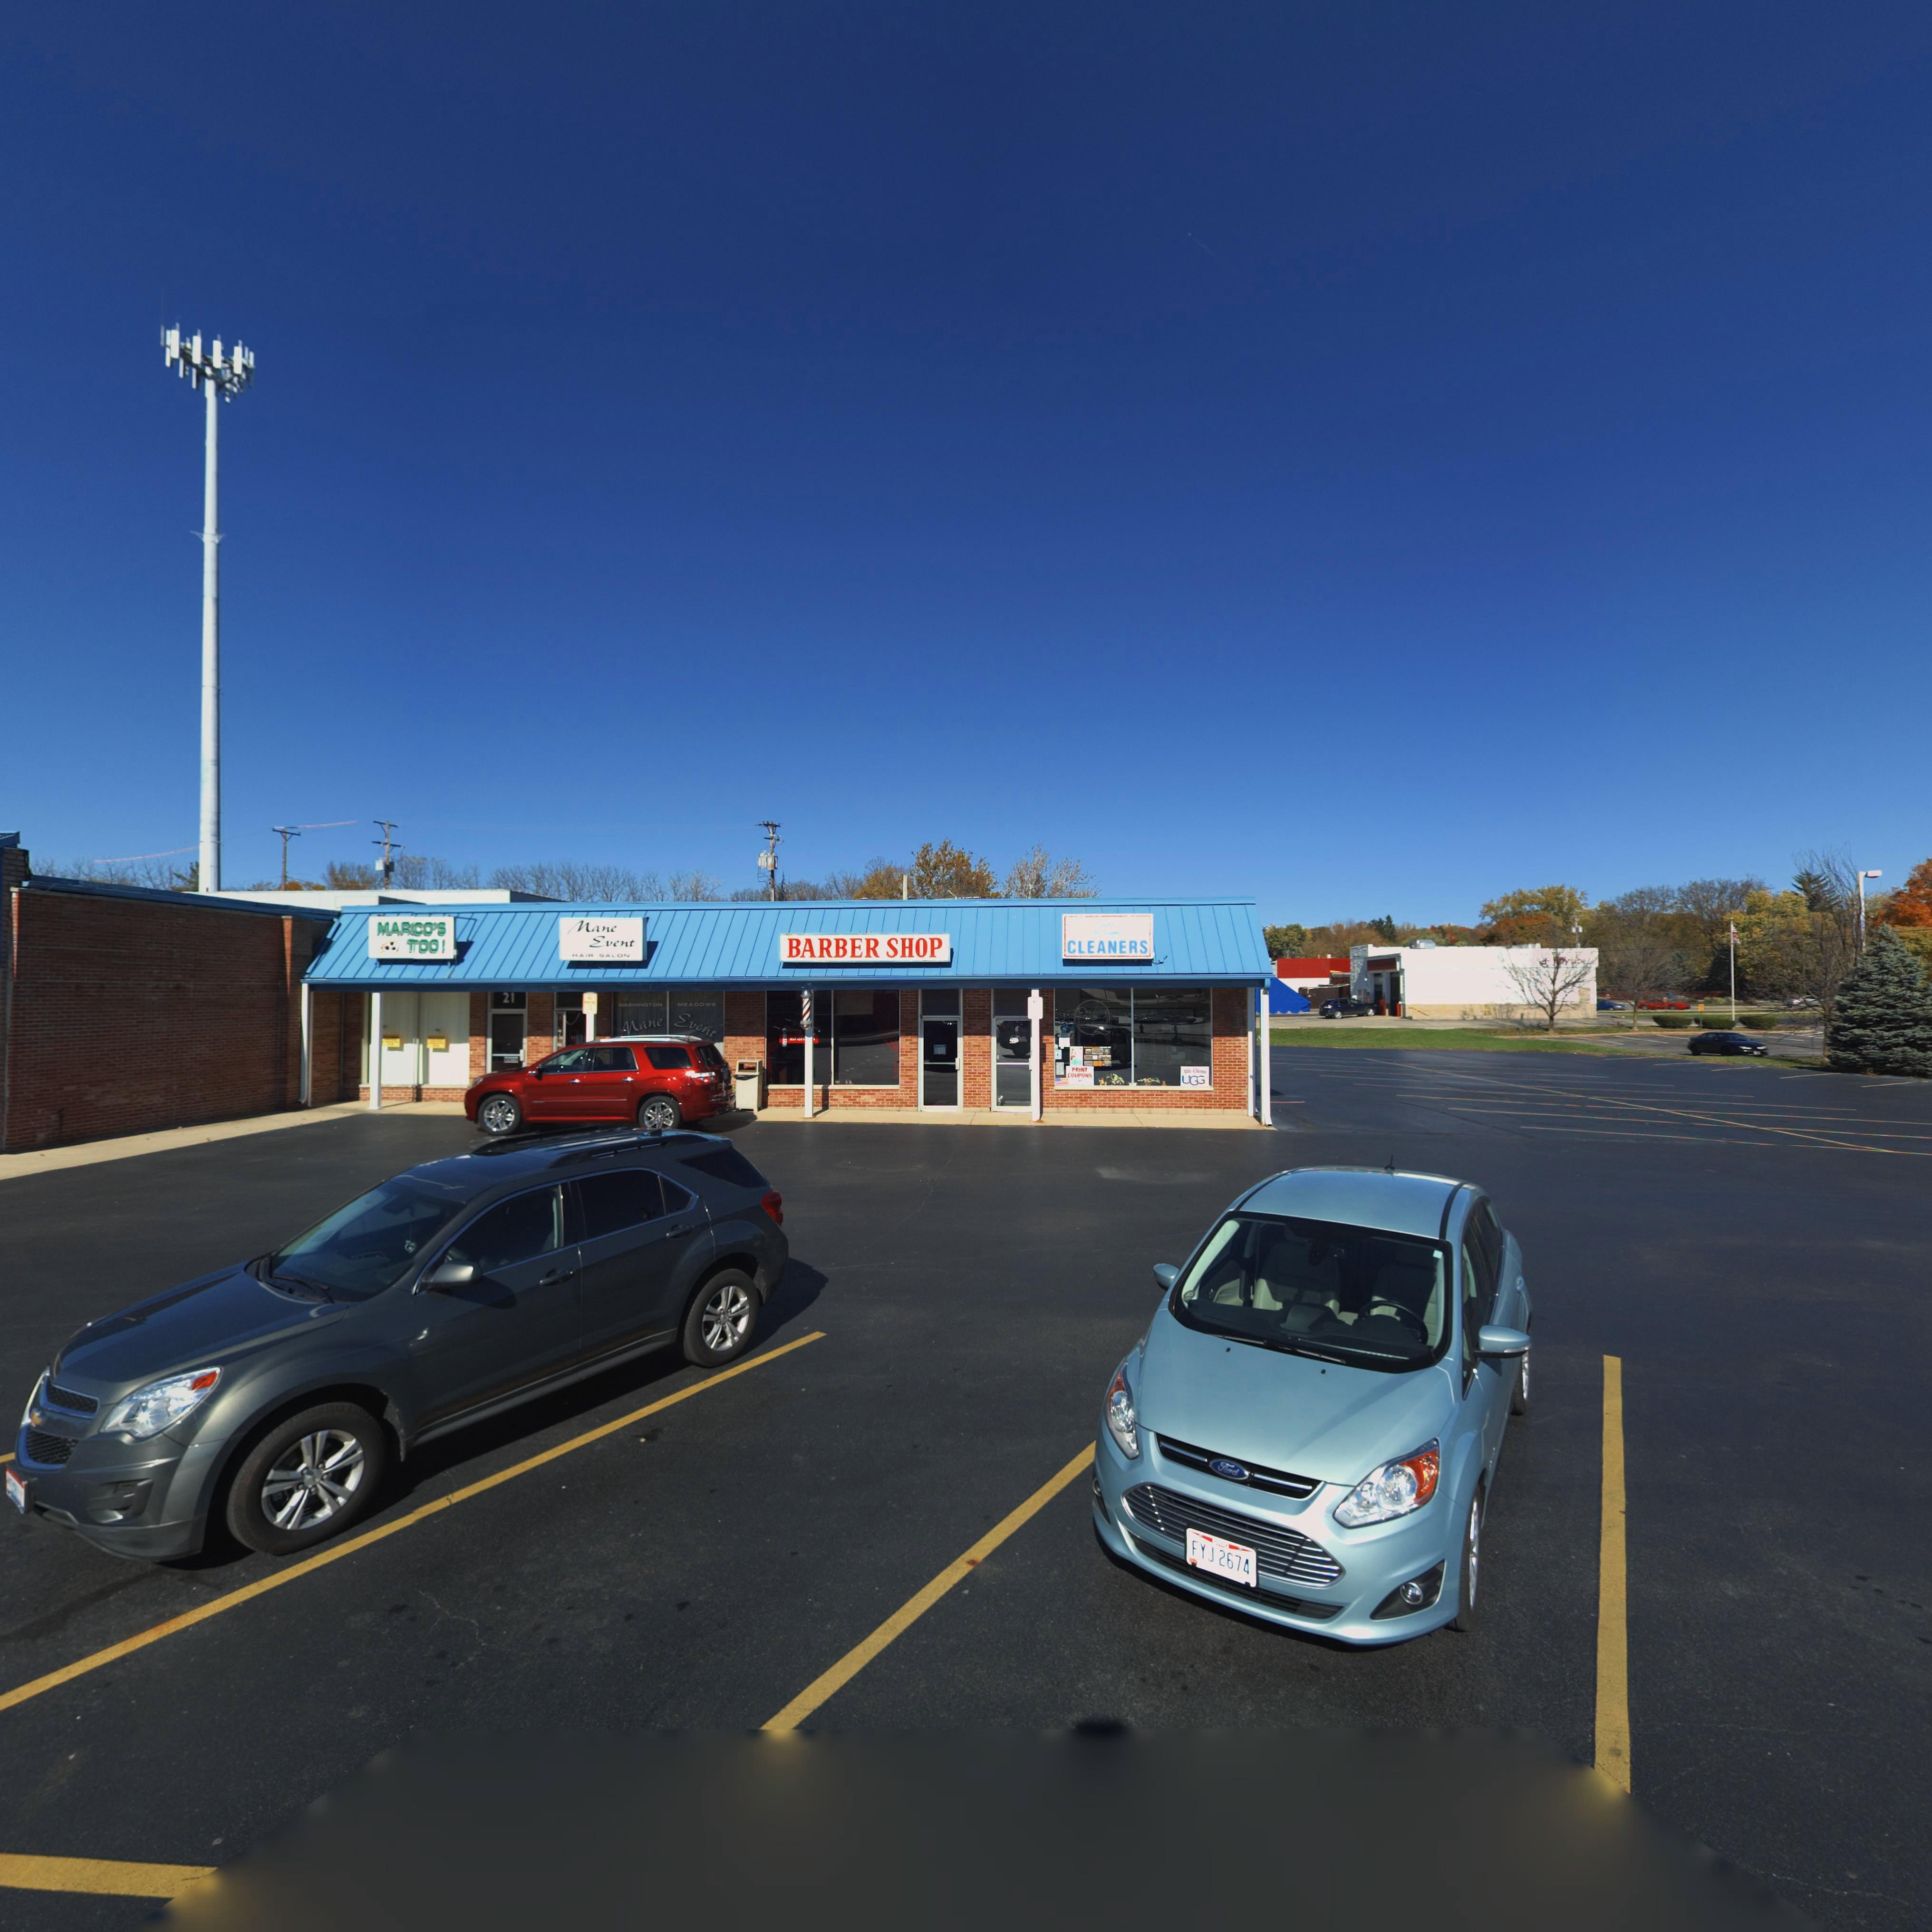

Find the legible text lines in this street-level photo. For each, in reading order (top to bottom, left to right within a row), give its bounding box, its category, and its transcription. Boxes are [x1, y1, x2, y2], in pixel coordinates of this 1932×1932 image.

[377, 921, 447, 937] BusinessName: MAR*CO'S
[565, 919, 618, 935] BusinessName: Mane
[406, 938, 447, 954] BusinessName: TOO!
[571, 953, 630, 958] None: HAIR SALON
[588, 935, 636, 948] BusinessName: Event
[786, 937, 944, 959] BusinessName: BARBER SHOP
[1066, 939, 1149, 955] BusinessName: CLEANERS
[502, 992, 515, 1004] StreetNumber: 21
[617, 1002, 716, 1007] None: WASHINGTON MEADOWS
[1078, 1005, 1107, 1020] None: Quality
[619, 1013, 717, 1039] BusinessName: Mane Event
[1072, 1067, 1088, 1073] None: PRINT
[1067, 1072, 1093, 1078] None: COUPONS
[1181, 1075, 1206, 1087] None: UGG
[1217, 1461, 1241, 1477] None: Ford
[1191, 1539, 1250, 1577] None: FYK*2674